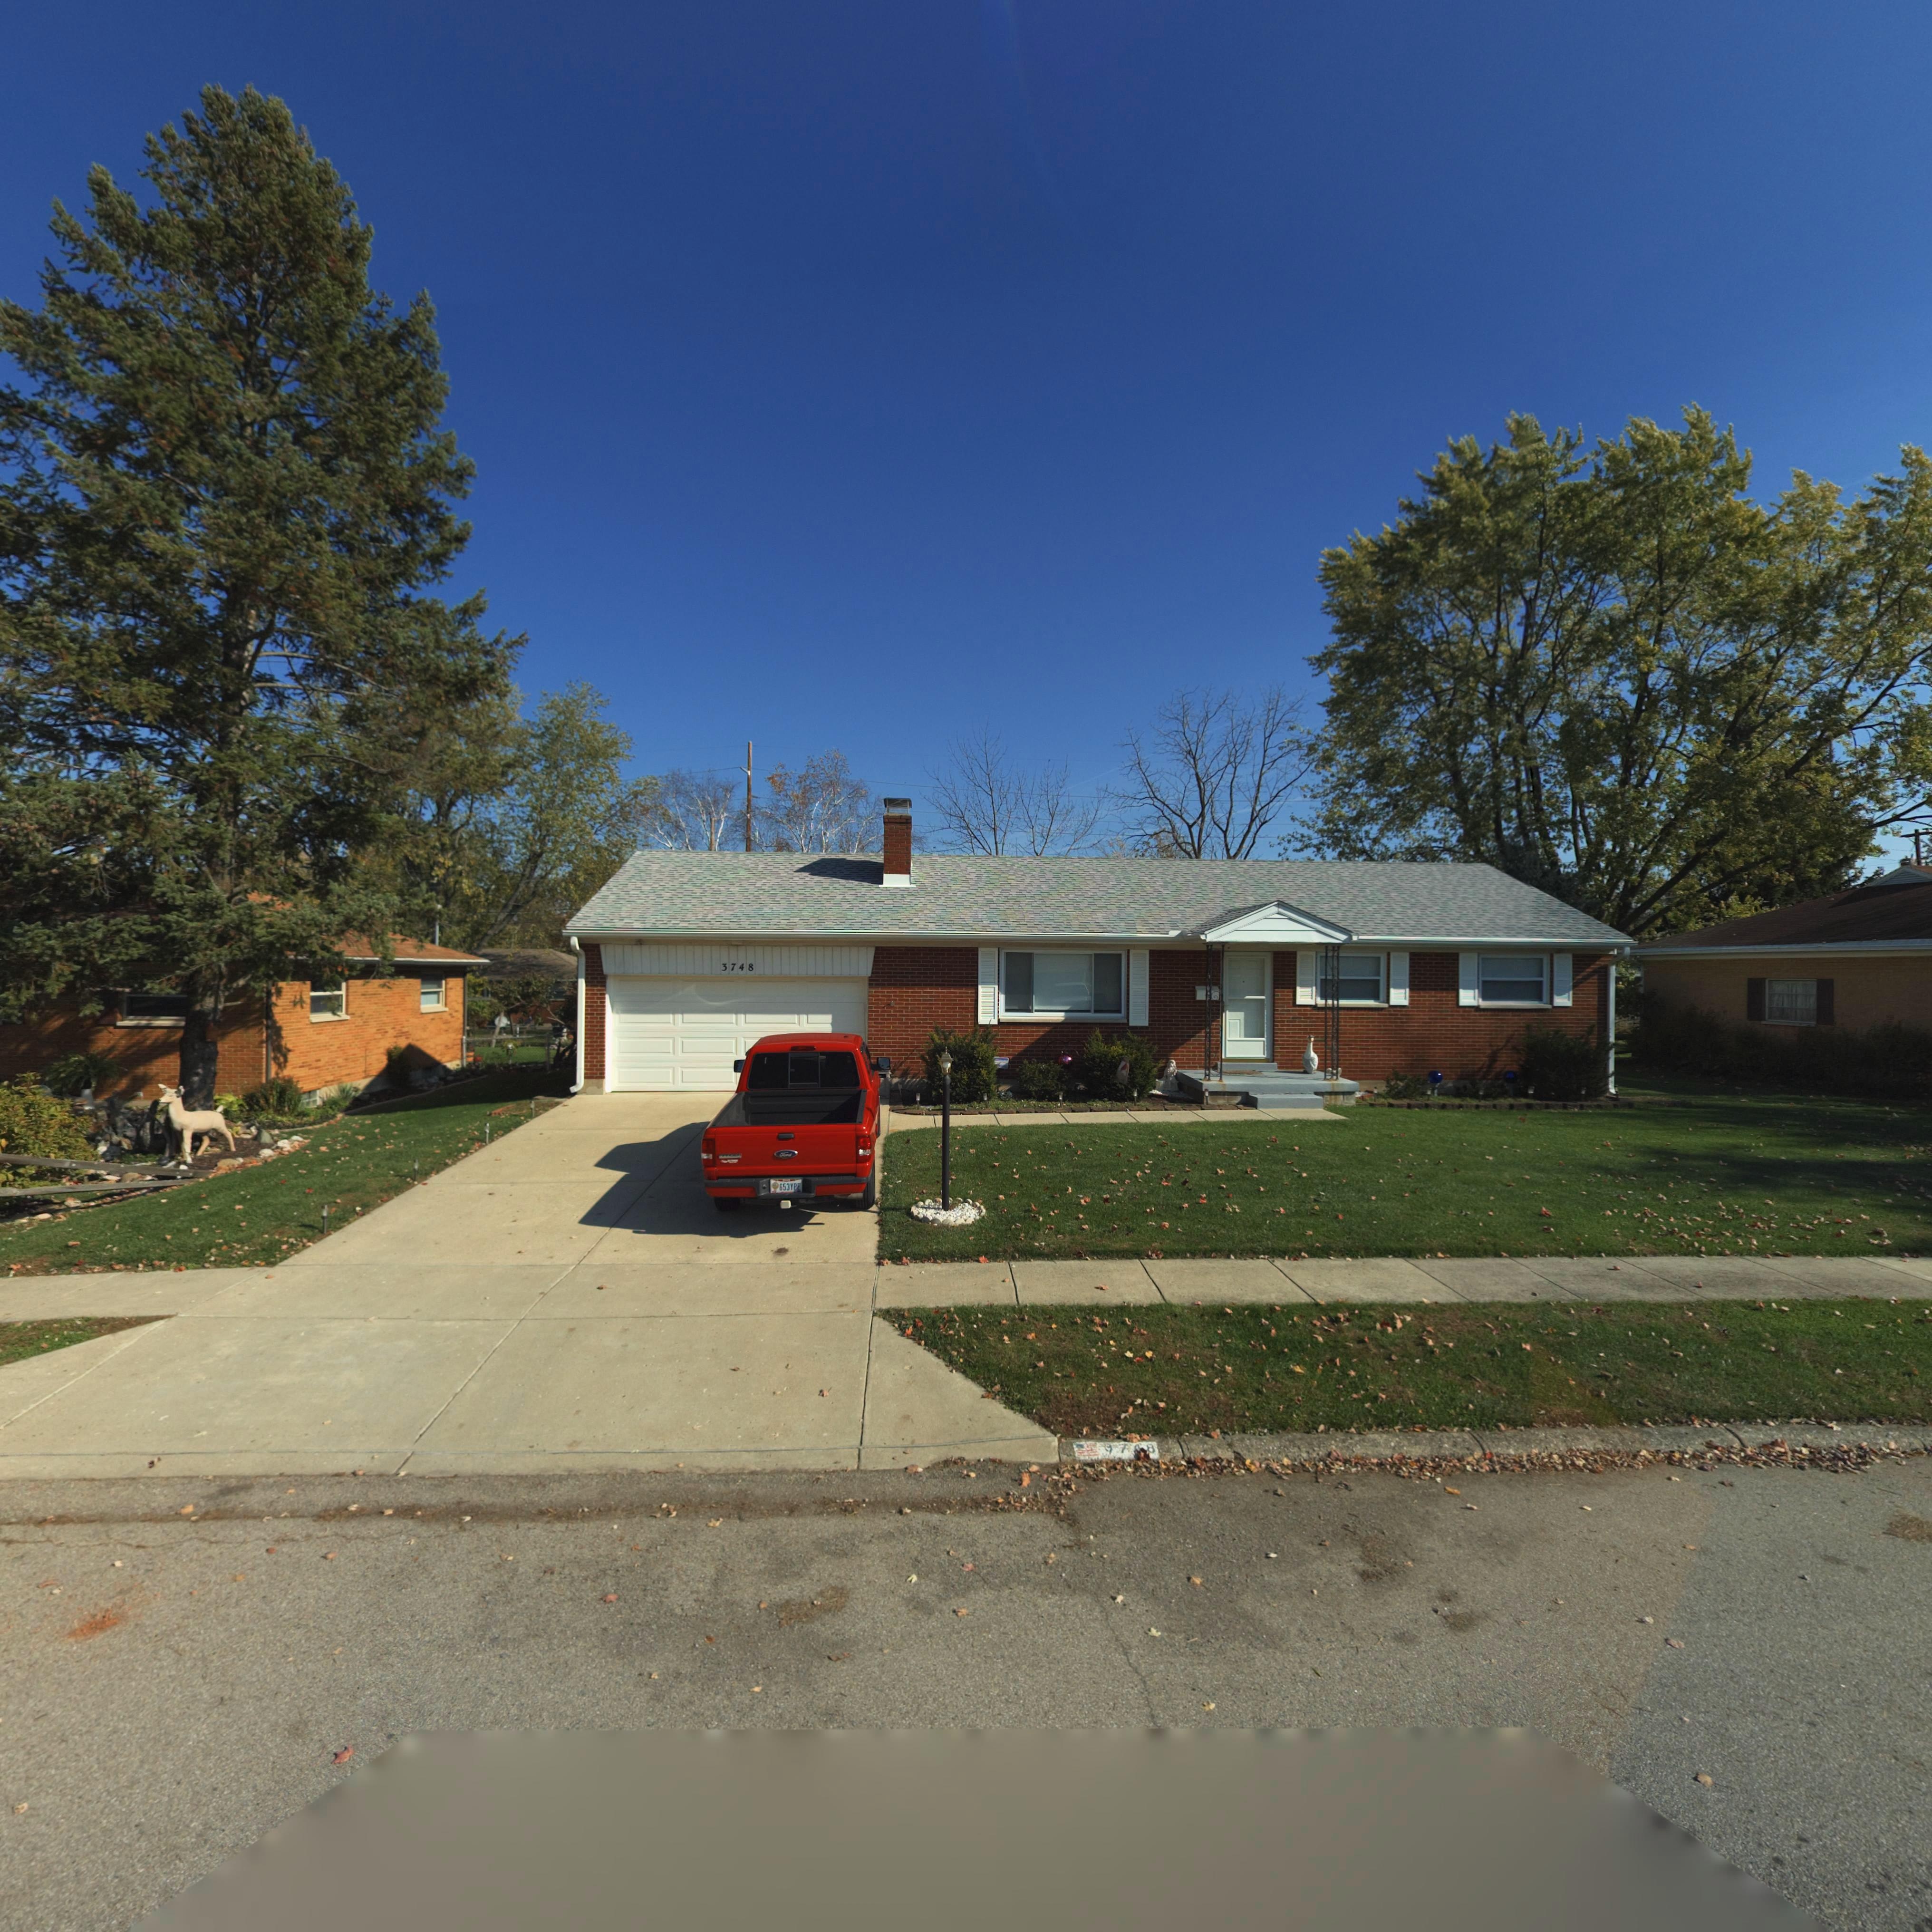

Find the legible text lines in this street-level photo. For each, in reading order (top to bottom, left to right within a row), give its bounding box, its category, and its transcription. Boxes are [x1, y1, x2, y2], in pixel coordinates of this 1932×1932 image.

[720, 962, 755, 972] StreetNumber: 3748
[1103, 1441, 1157, 1456] StreetNumber: *7*8